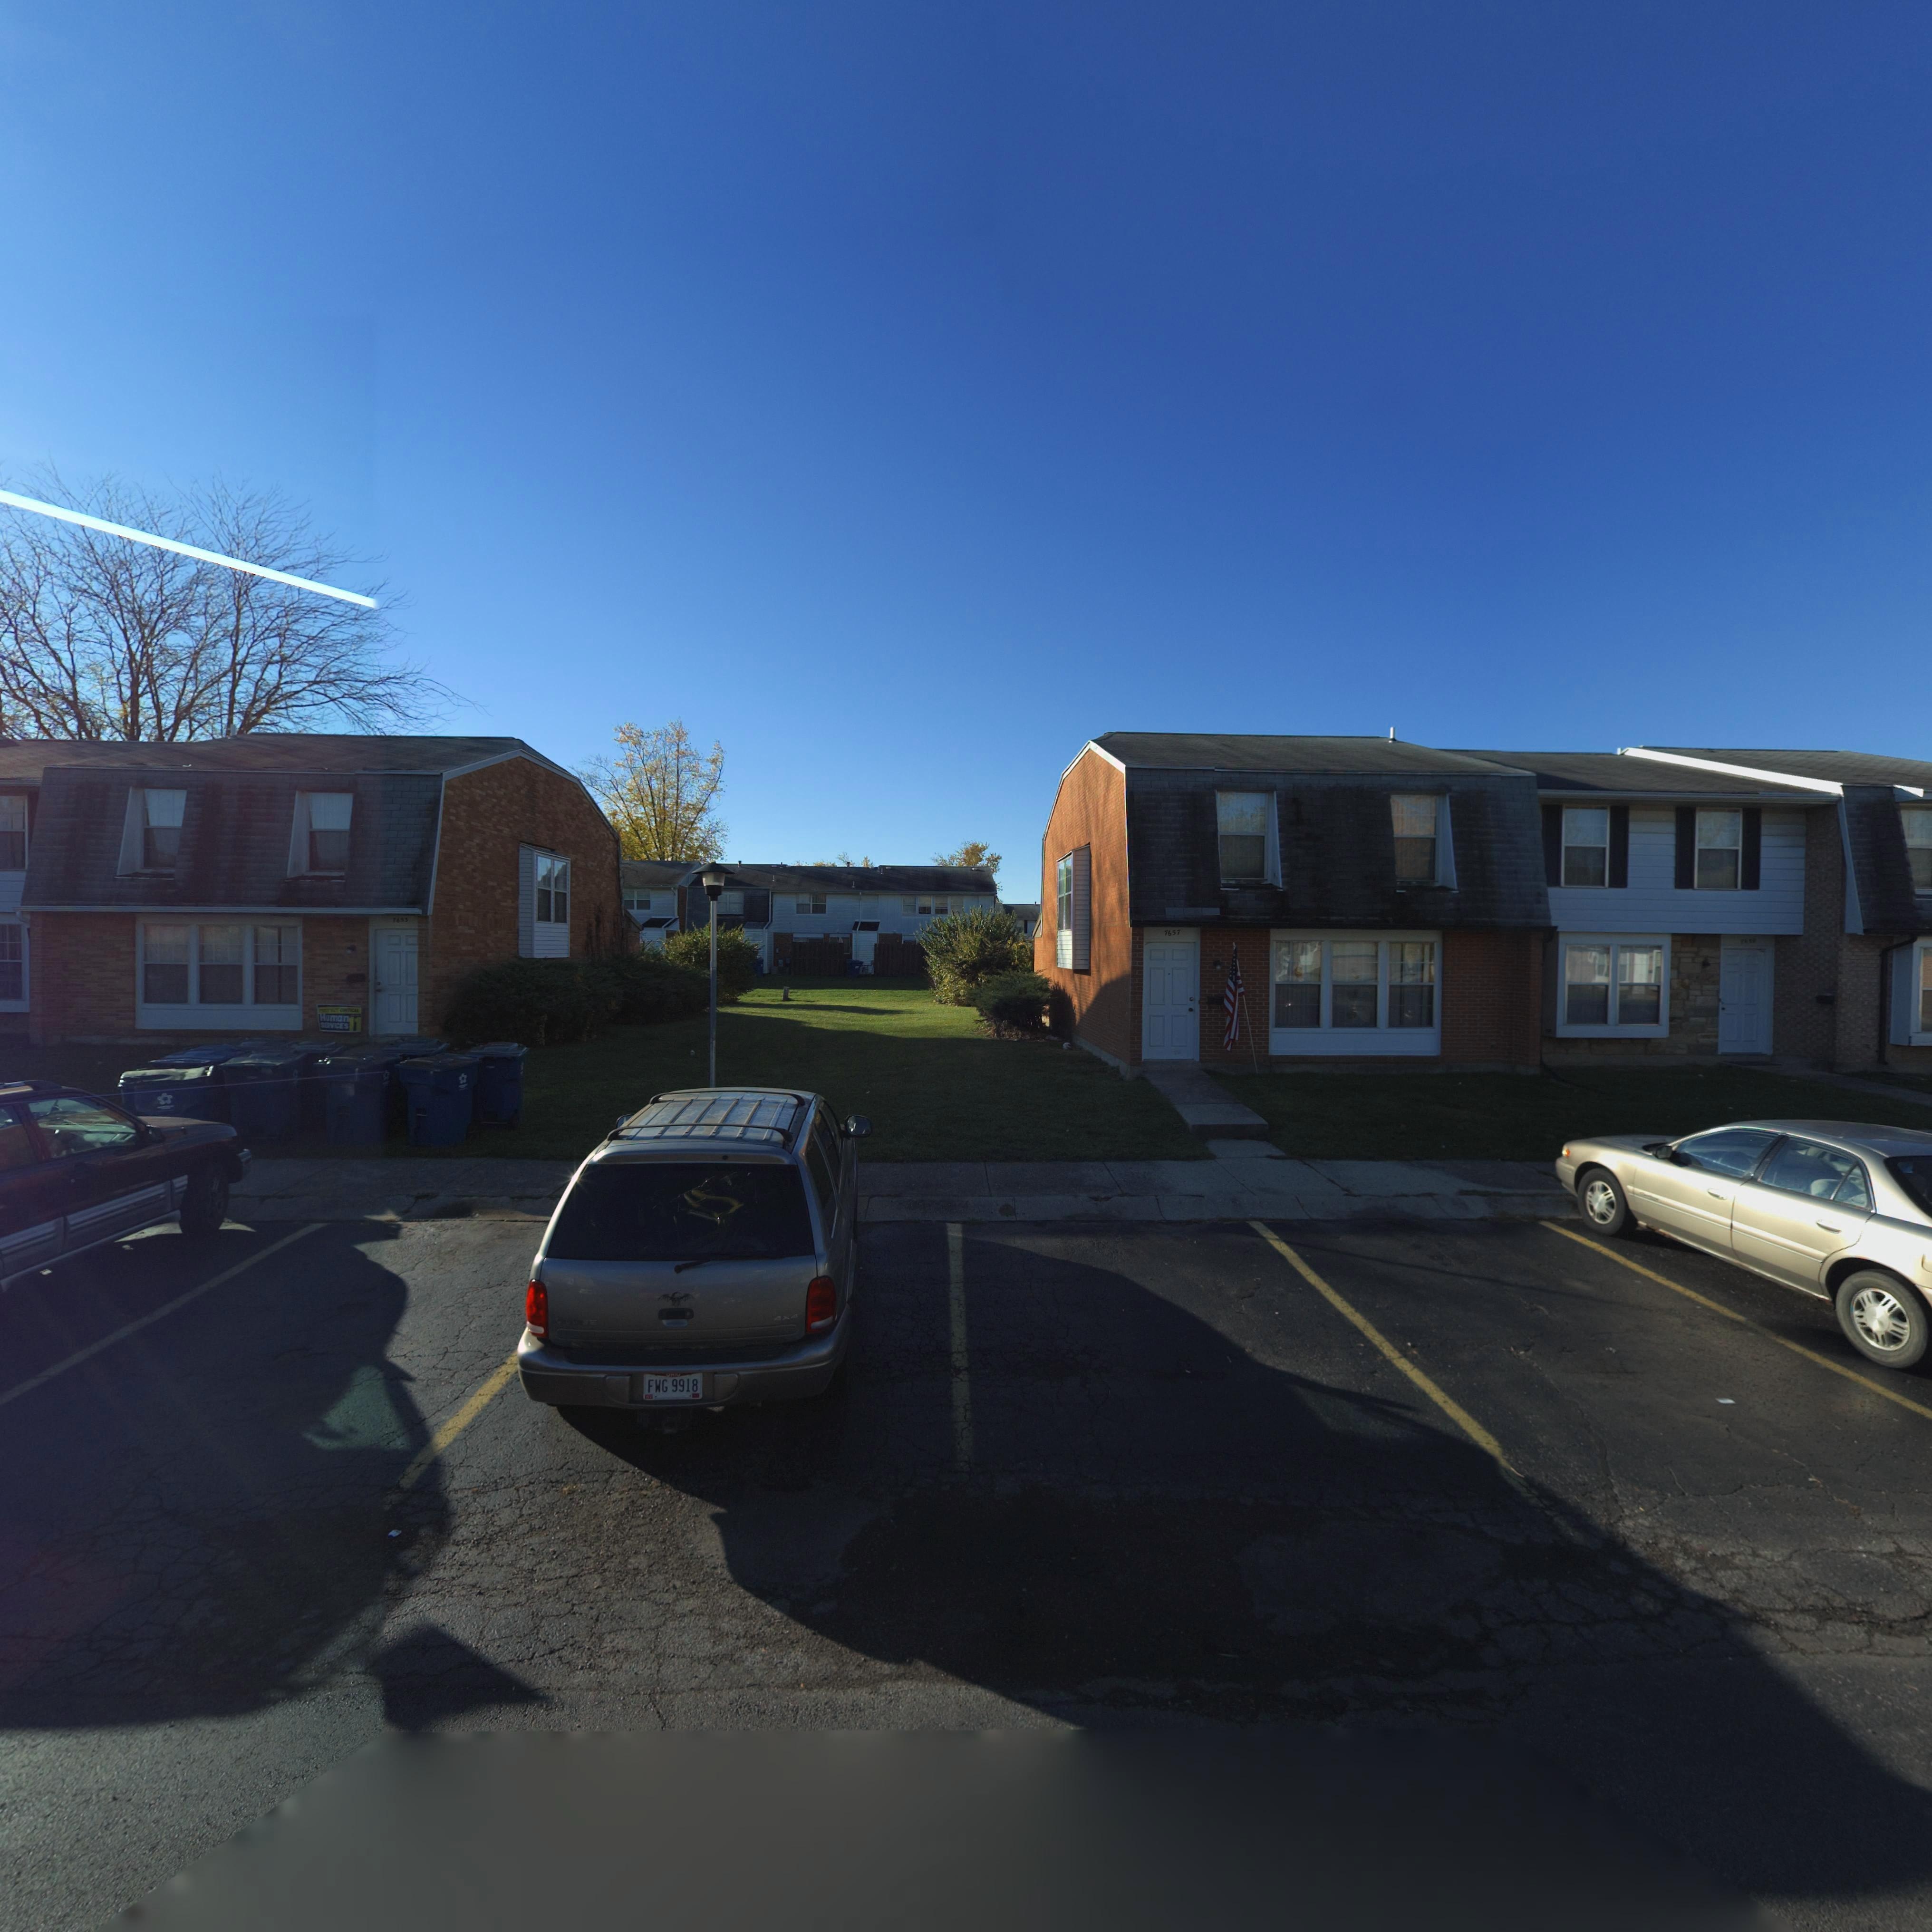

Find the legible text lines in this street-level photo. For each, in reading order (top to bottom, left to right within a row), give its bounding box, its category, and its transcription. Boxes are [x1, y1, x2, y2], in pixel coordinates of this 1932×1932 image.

[392, 917, 408, 923] StreetNumber: 7653
[1164, 929, 1182, 937] StreetNumber: 7657
[1738, 937, 1758, 945] StreetNumber: 7**9